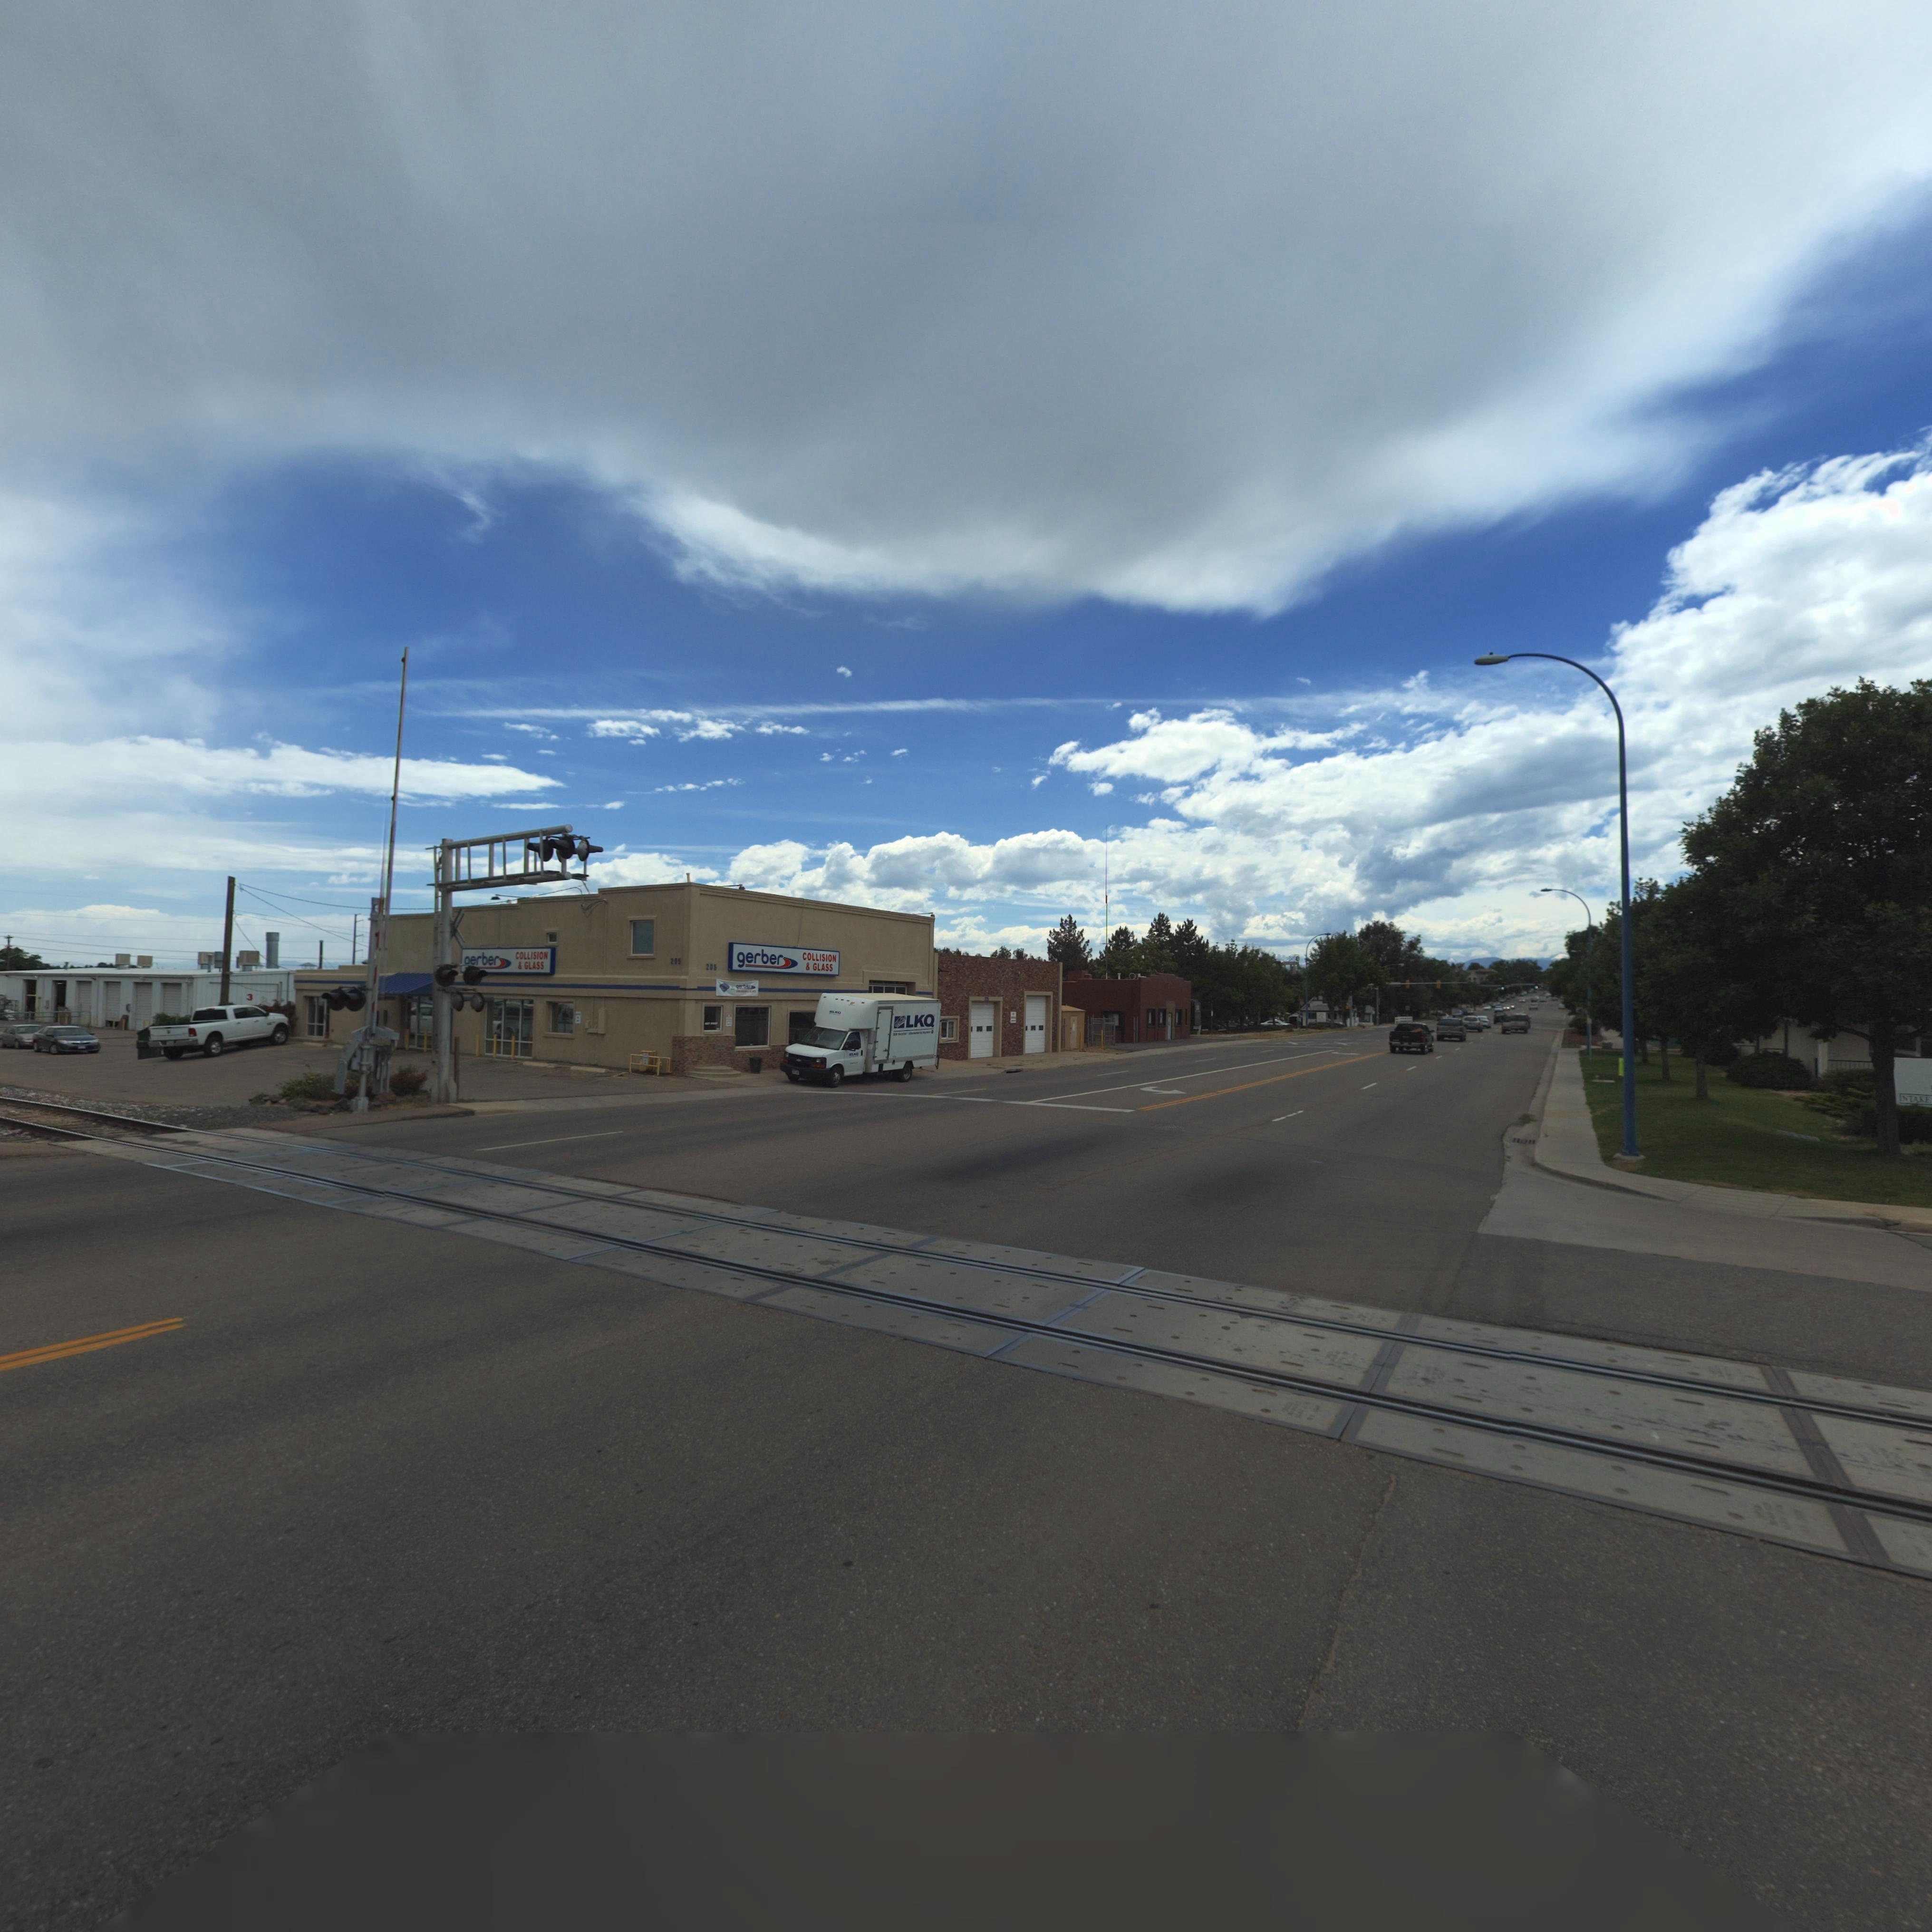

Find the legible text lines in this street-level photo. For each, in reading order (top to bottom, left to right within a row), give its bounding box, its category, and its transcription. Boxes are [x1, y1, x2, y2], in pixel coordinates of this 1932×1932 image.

[464, 951, 500, 970] BusinessName: *erber
[517, 961, 544, 970] BusinessName: & GLASS
[515, 951, 548, 960] BusinessName: COLLISION
[670, 957, 681, 965] StreetNumber: 205
[705, 963, 717, 971] StreetNumber: 205
[736, 948, 784, 968] BusinessName: gerber
[802, 951, 836, 963] BusinessName: COLLISION
[805, 962, 833, 972] BusinessName: & GLASS